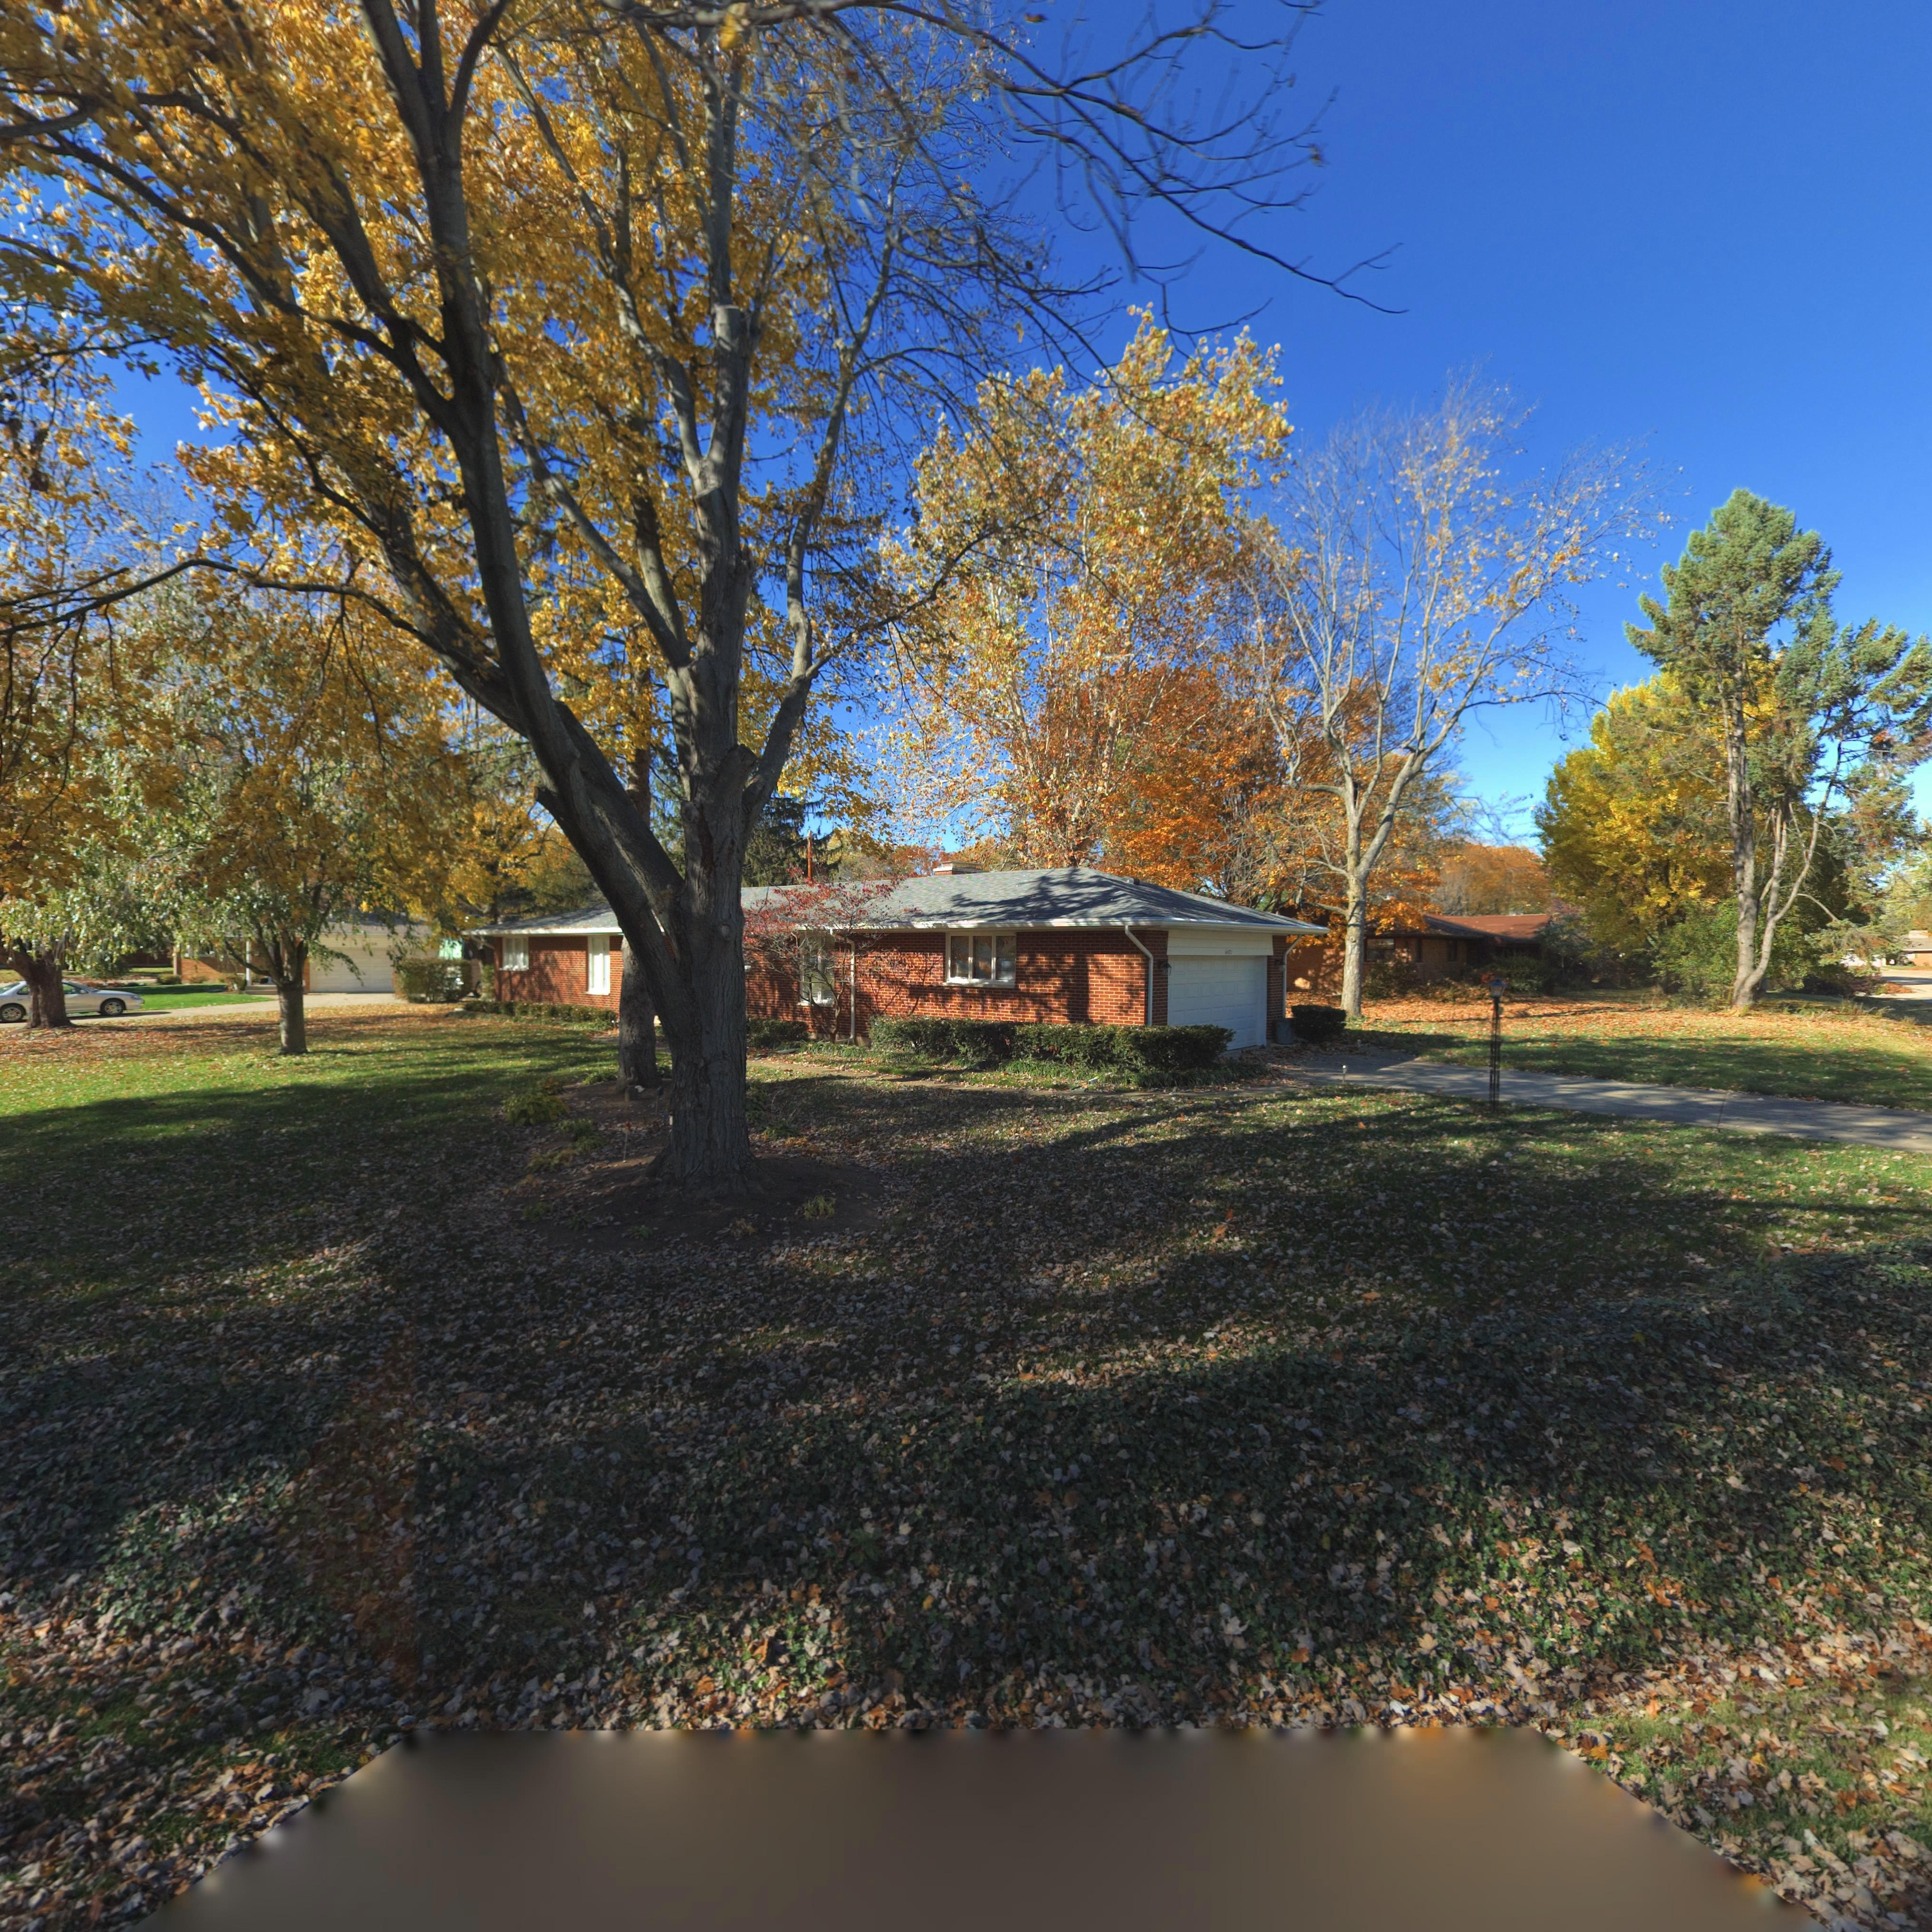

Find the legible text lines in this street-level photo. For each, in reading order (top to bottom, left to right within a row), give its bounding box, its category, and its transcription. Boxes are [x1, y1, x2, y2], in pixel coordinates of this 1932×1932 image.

[1225, 948, 1233, 955] StreetNumber: 6421